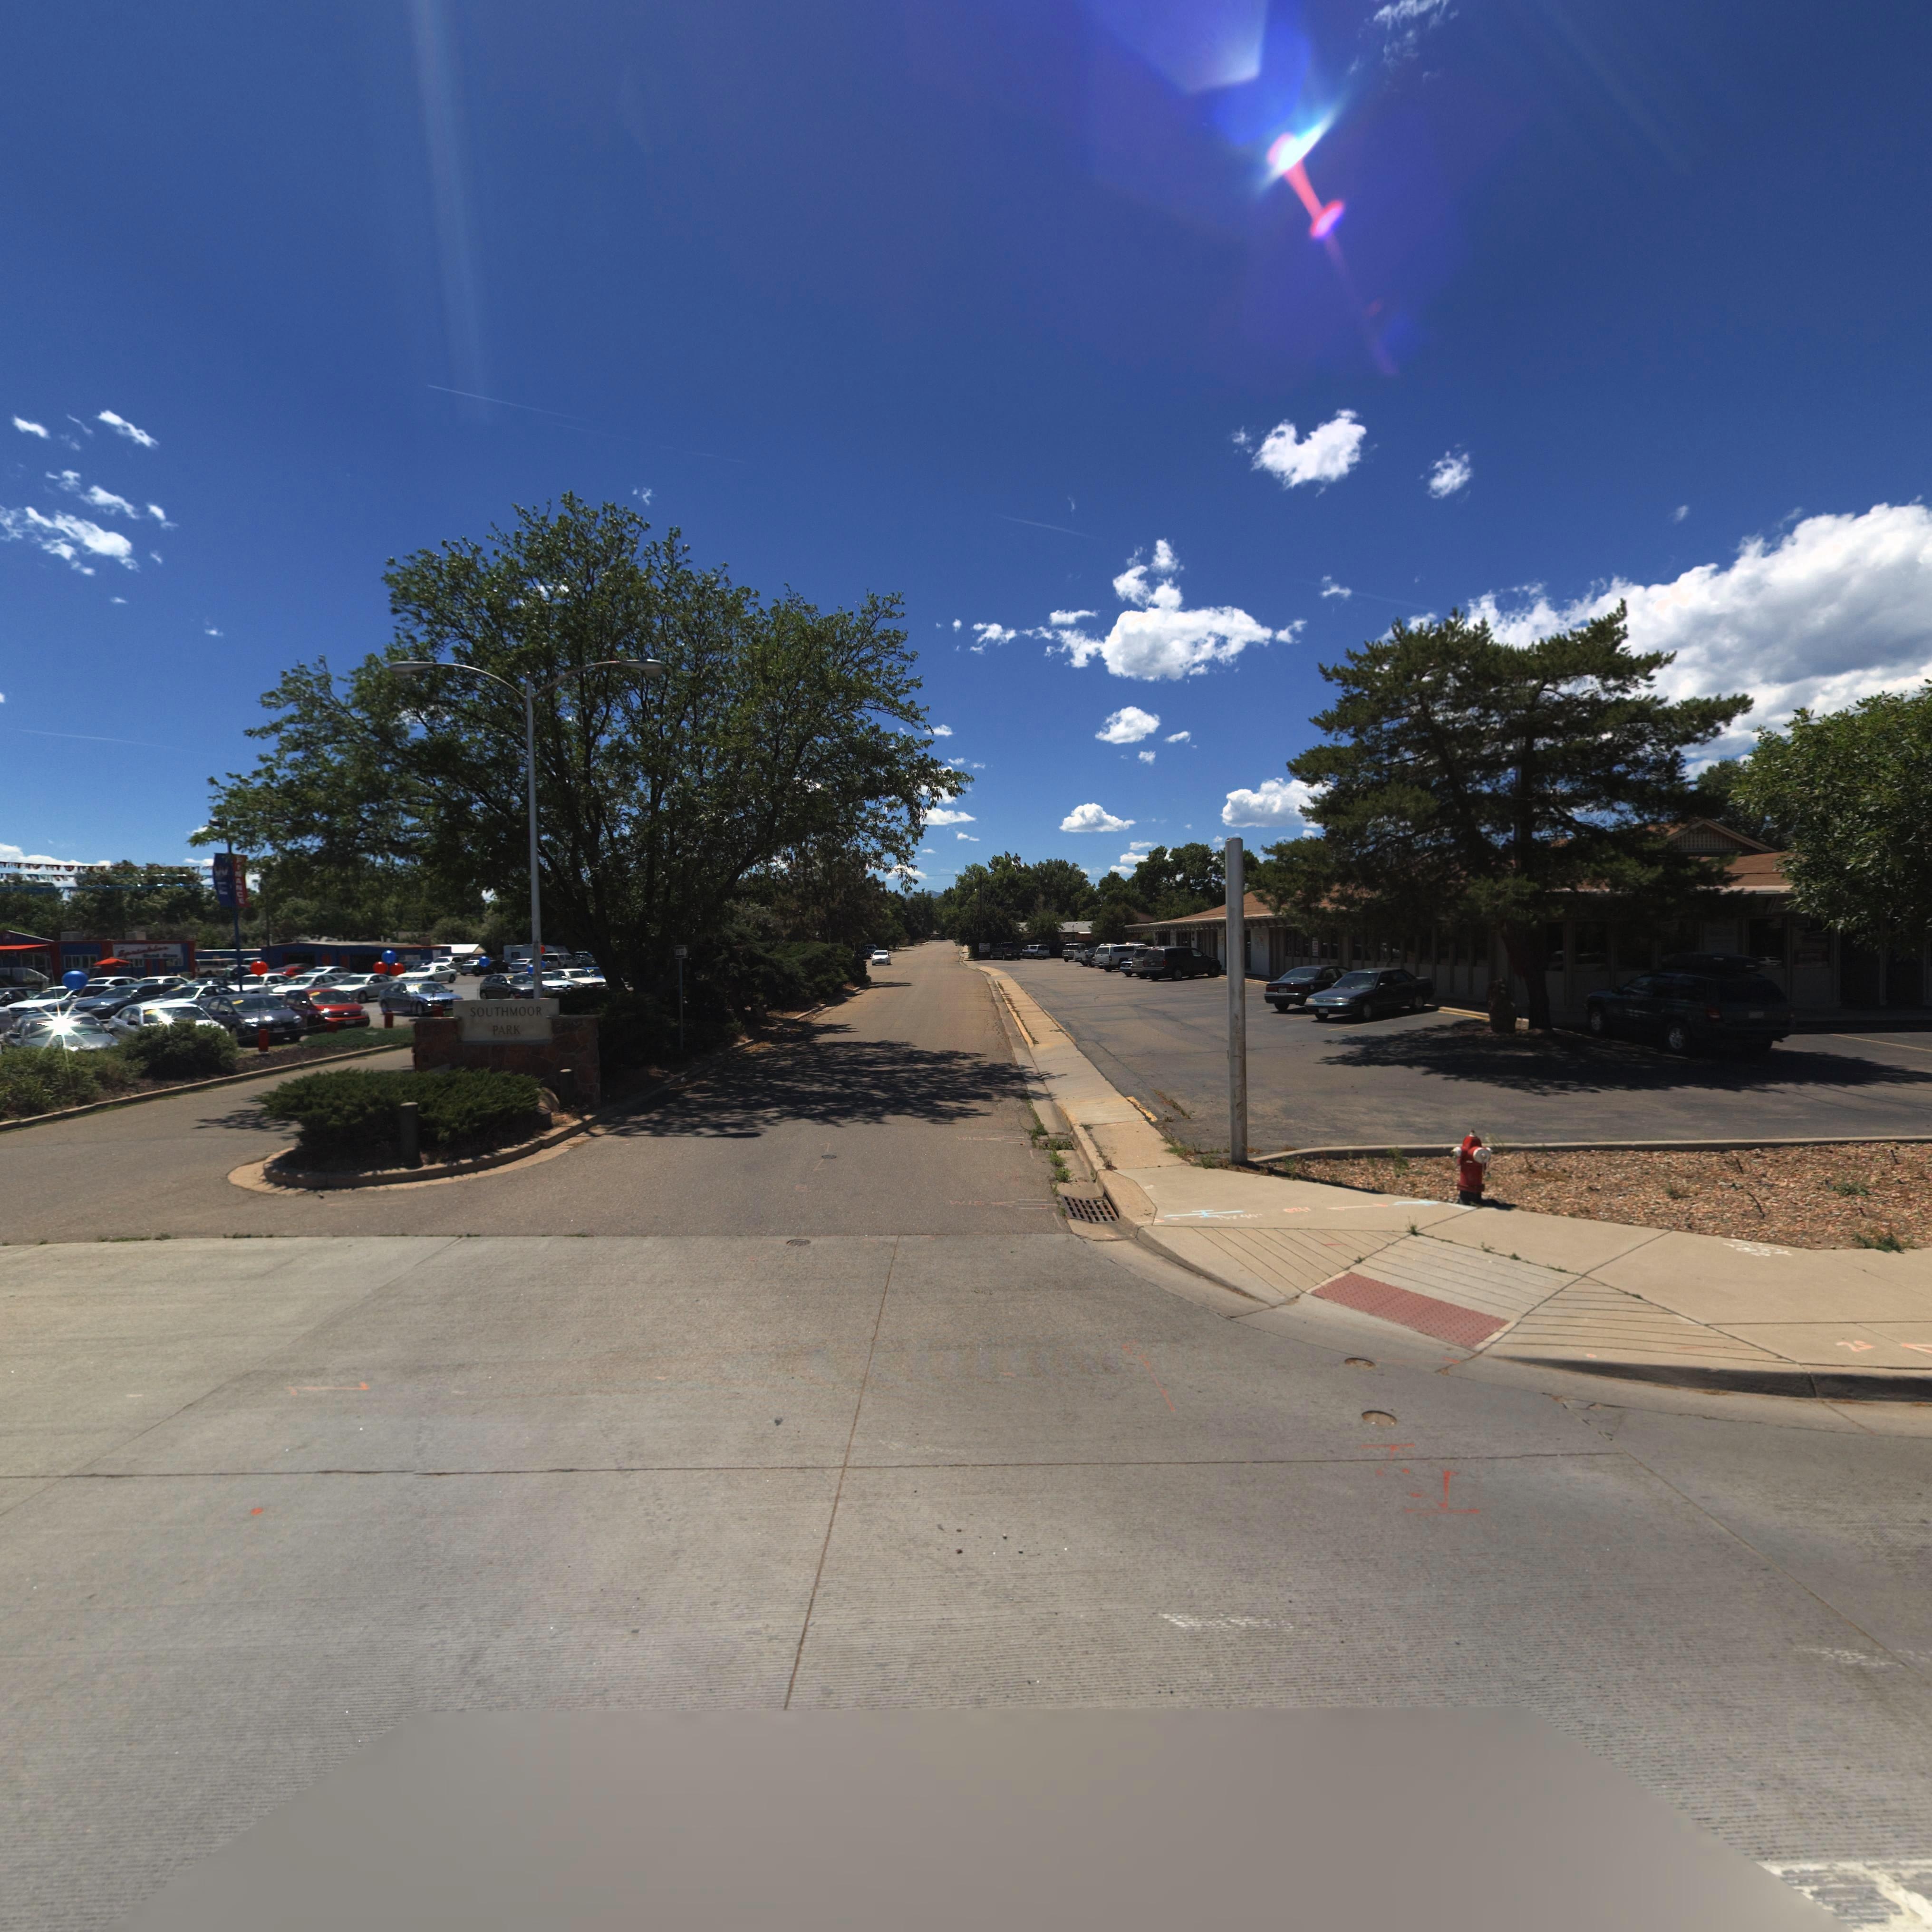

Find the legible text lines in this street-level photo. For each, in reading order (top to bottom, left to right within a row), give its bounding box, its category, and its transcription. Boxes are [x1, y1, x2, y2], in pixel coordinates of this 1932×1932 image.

[116, 944, 170, 959] BusinessName: Sprinkler